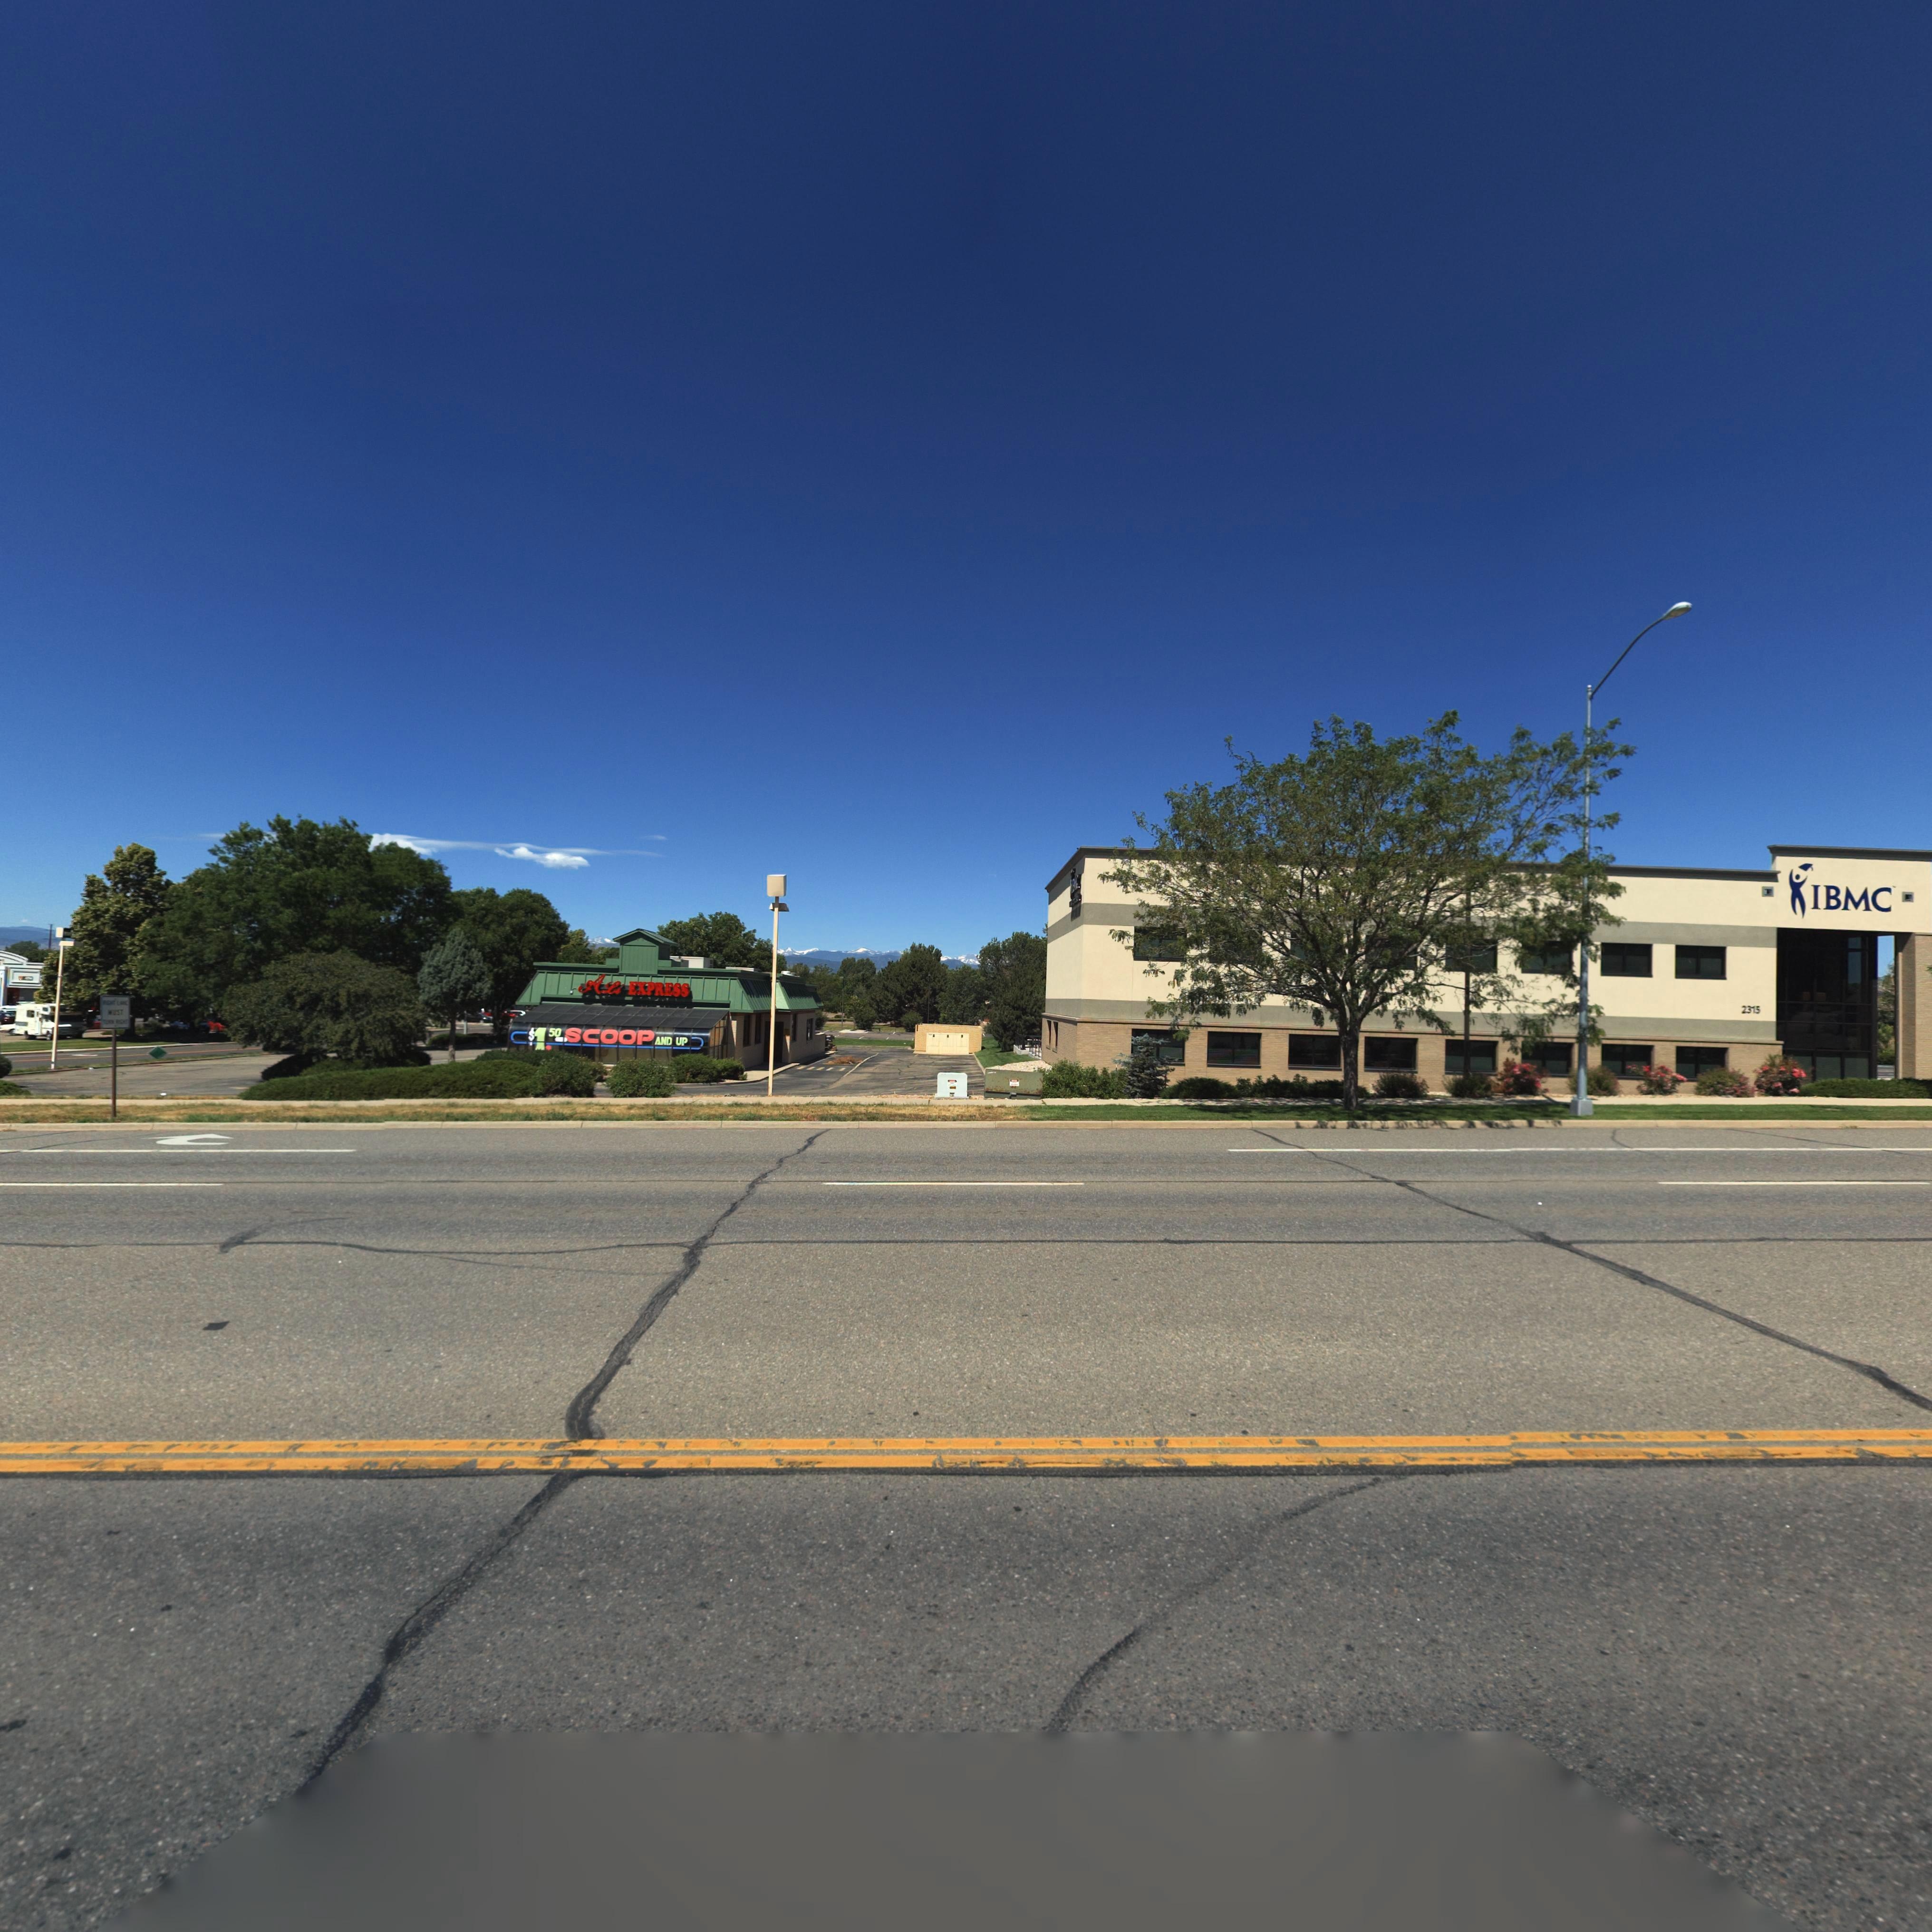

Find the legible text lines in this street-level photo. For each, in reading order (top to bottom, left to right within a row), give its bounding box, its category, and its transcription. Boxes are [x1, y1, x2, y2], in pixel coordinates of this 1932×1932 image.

[1071, 872, 1080, 893] BusinessName: IB*C
[1810, 883, 1892, 913] BusinessName: IBMC
[577, 973, 625, 995] BusinessName: ALi
[628, 981, 689, 997] BusinessName: EXPRESS
[1741, 1005, 1760, 1014] StreetNumber: 2315